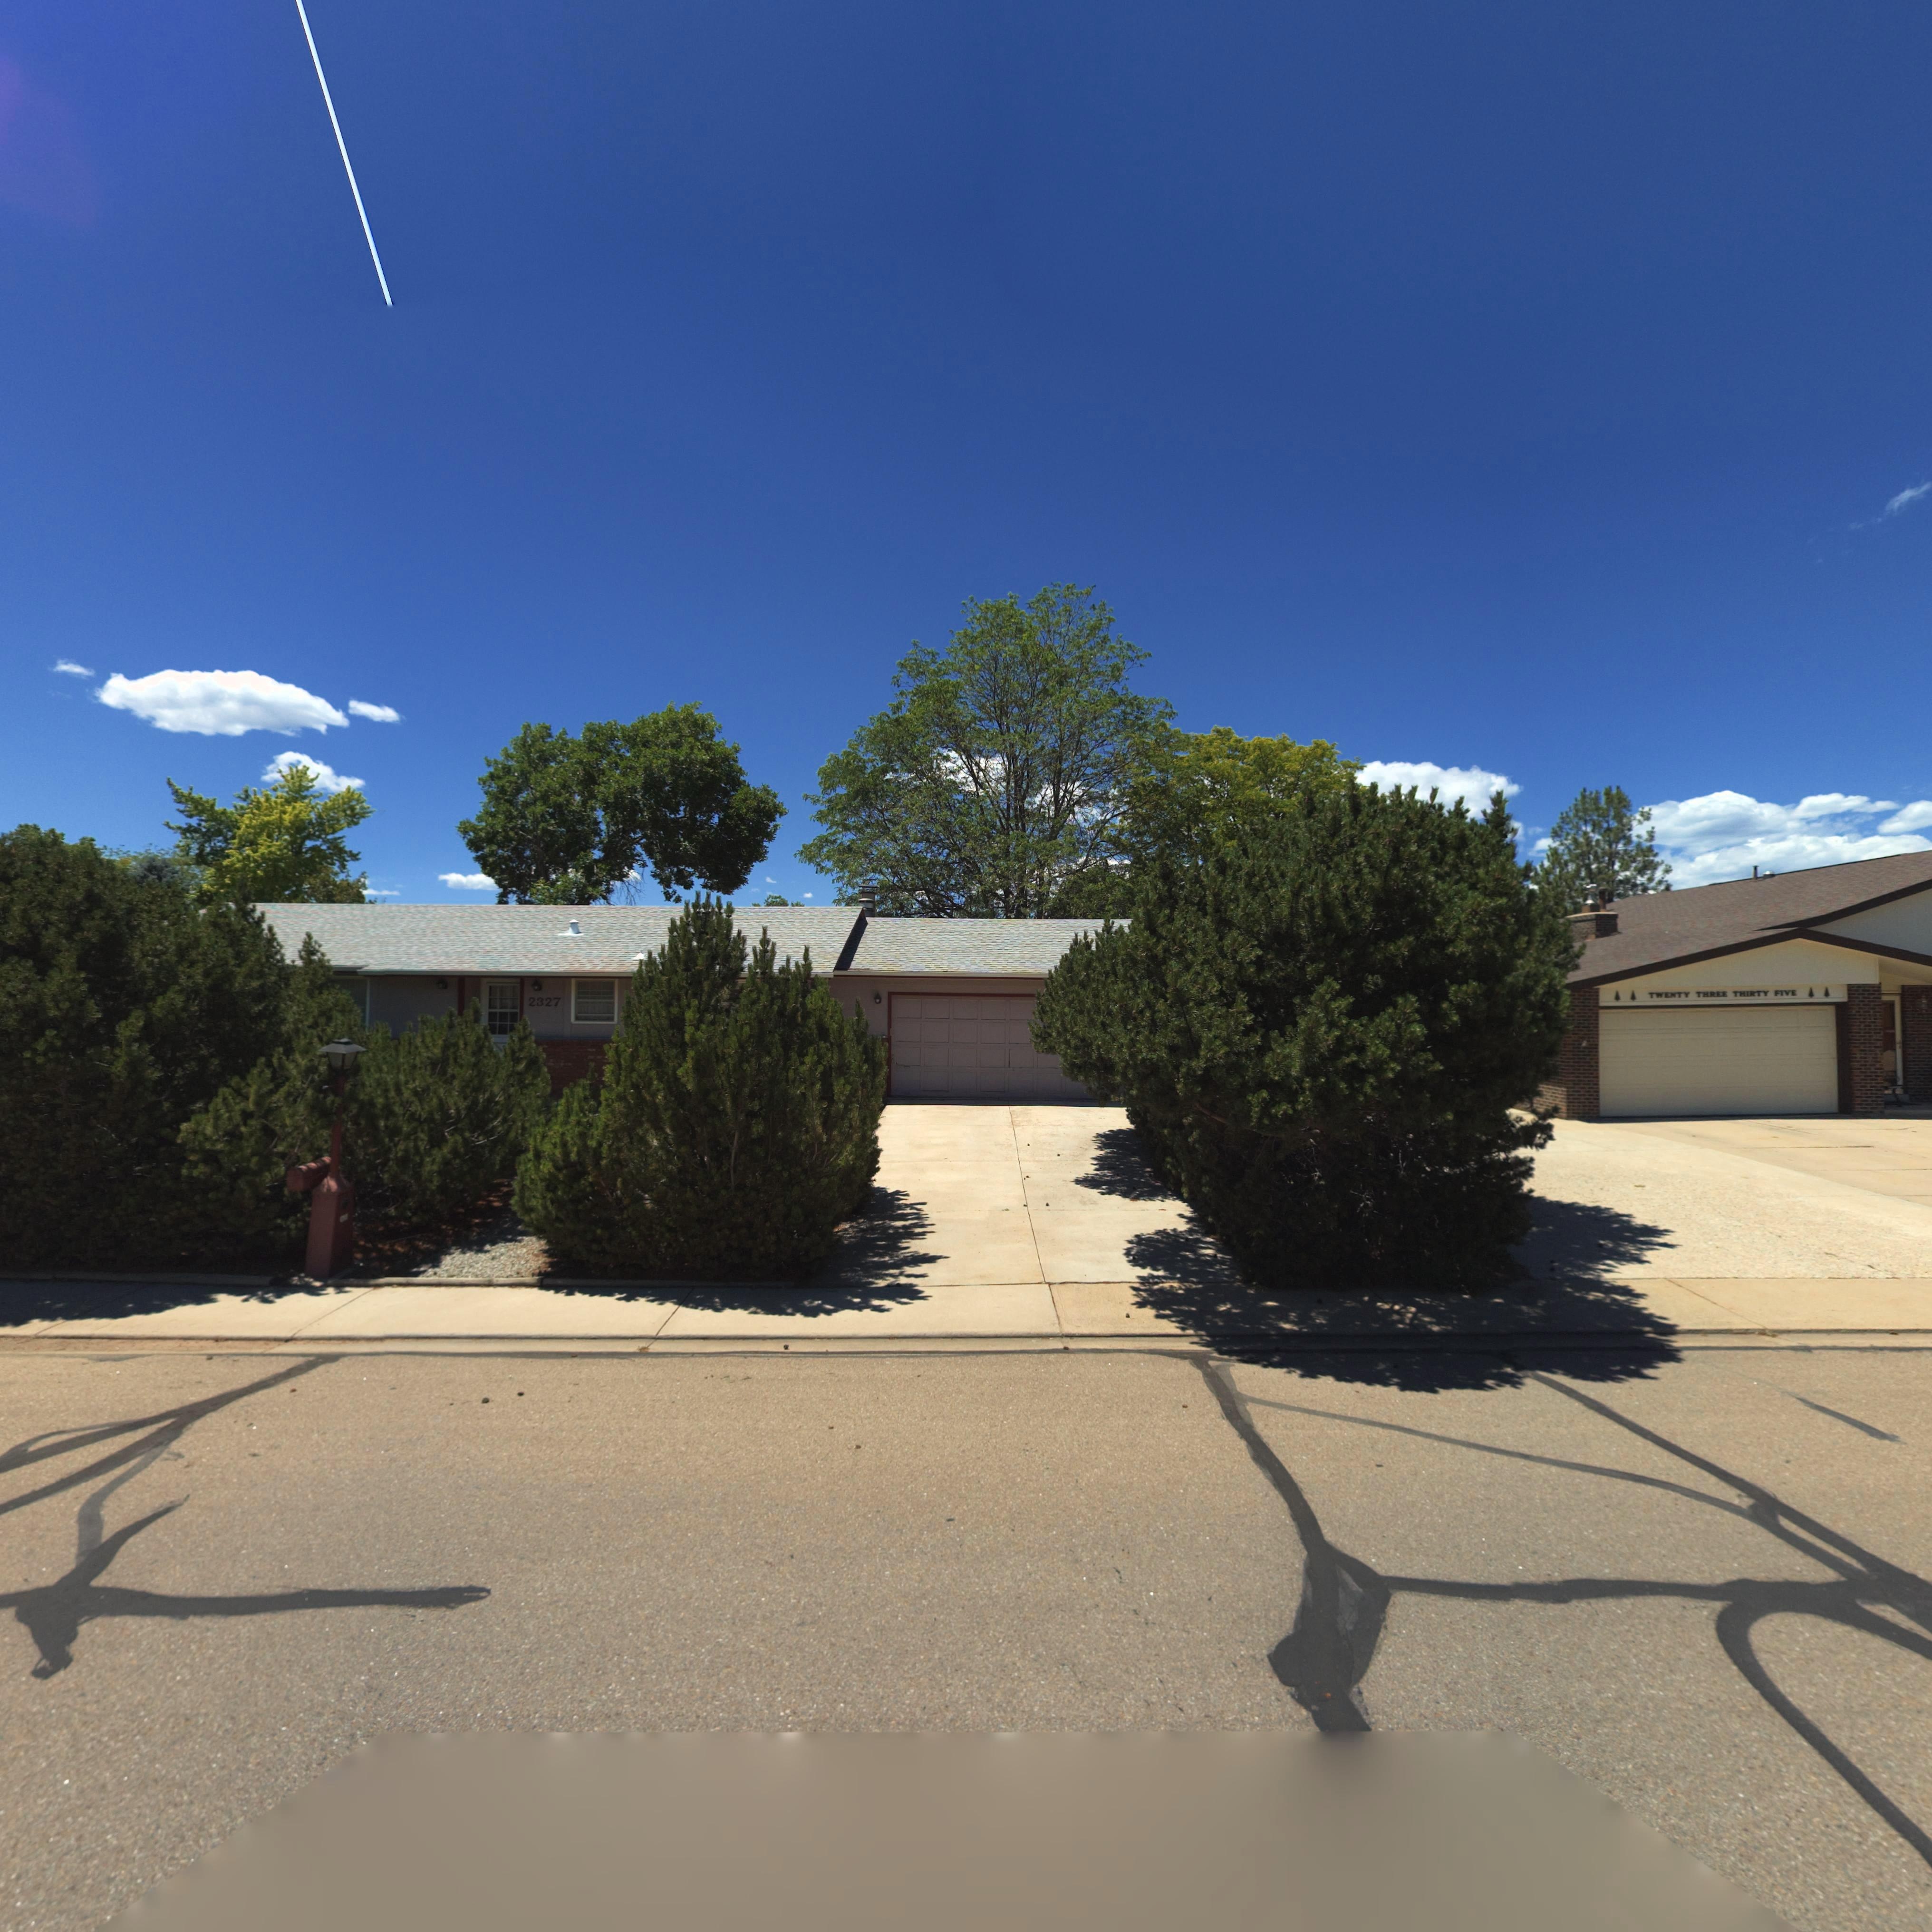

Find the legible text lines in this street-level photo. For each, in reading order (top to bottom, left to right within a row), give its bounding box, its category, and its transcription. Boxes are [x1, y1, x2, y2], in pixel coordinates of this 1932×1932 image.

[1648, 989, 1797, 999] StreetNumber: TWENTY THREE THIRTY FIVE
[528, 997, 561, 1006] StreetNumber: 2327